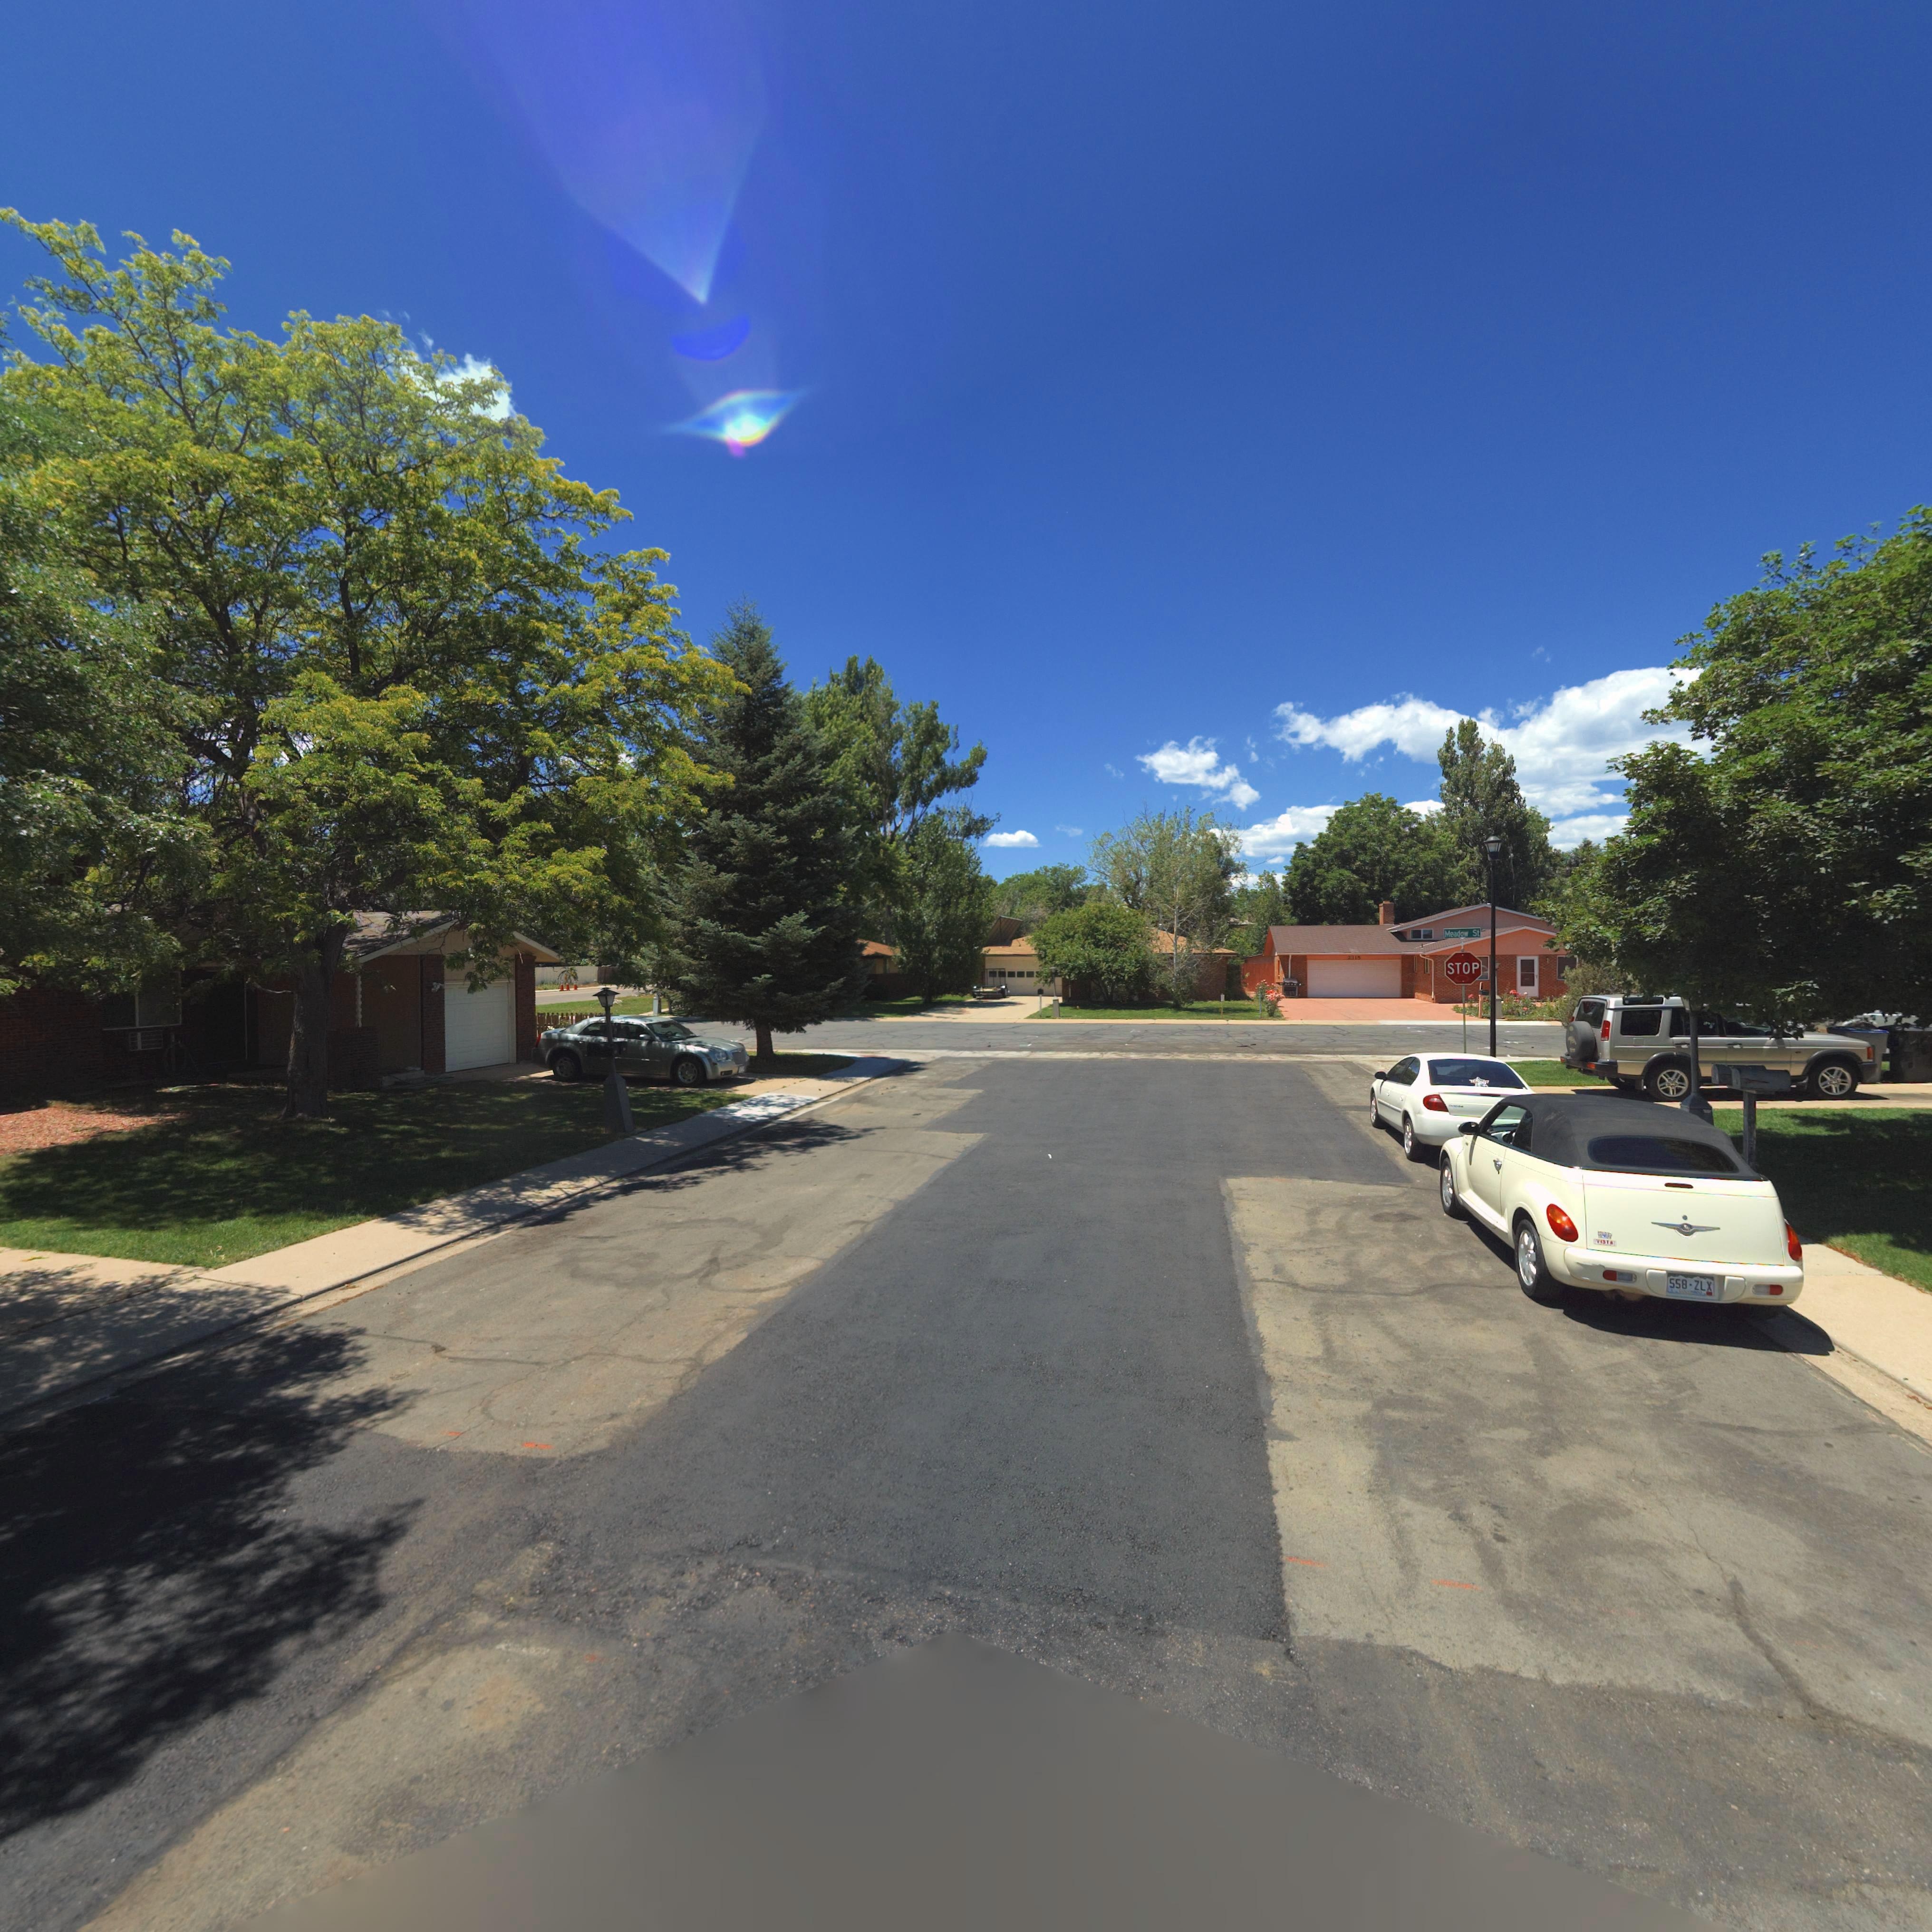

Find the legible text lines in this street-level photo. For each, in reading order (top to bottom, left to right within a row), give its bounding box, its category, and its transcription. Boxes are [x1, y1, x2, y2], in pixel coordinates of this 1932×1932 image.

[1444, 929, 1479, 937] StreetName: Meadow St
[1346, 955, 1360, 960] StreetNumber: 2315